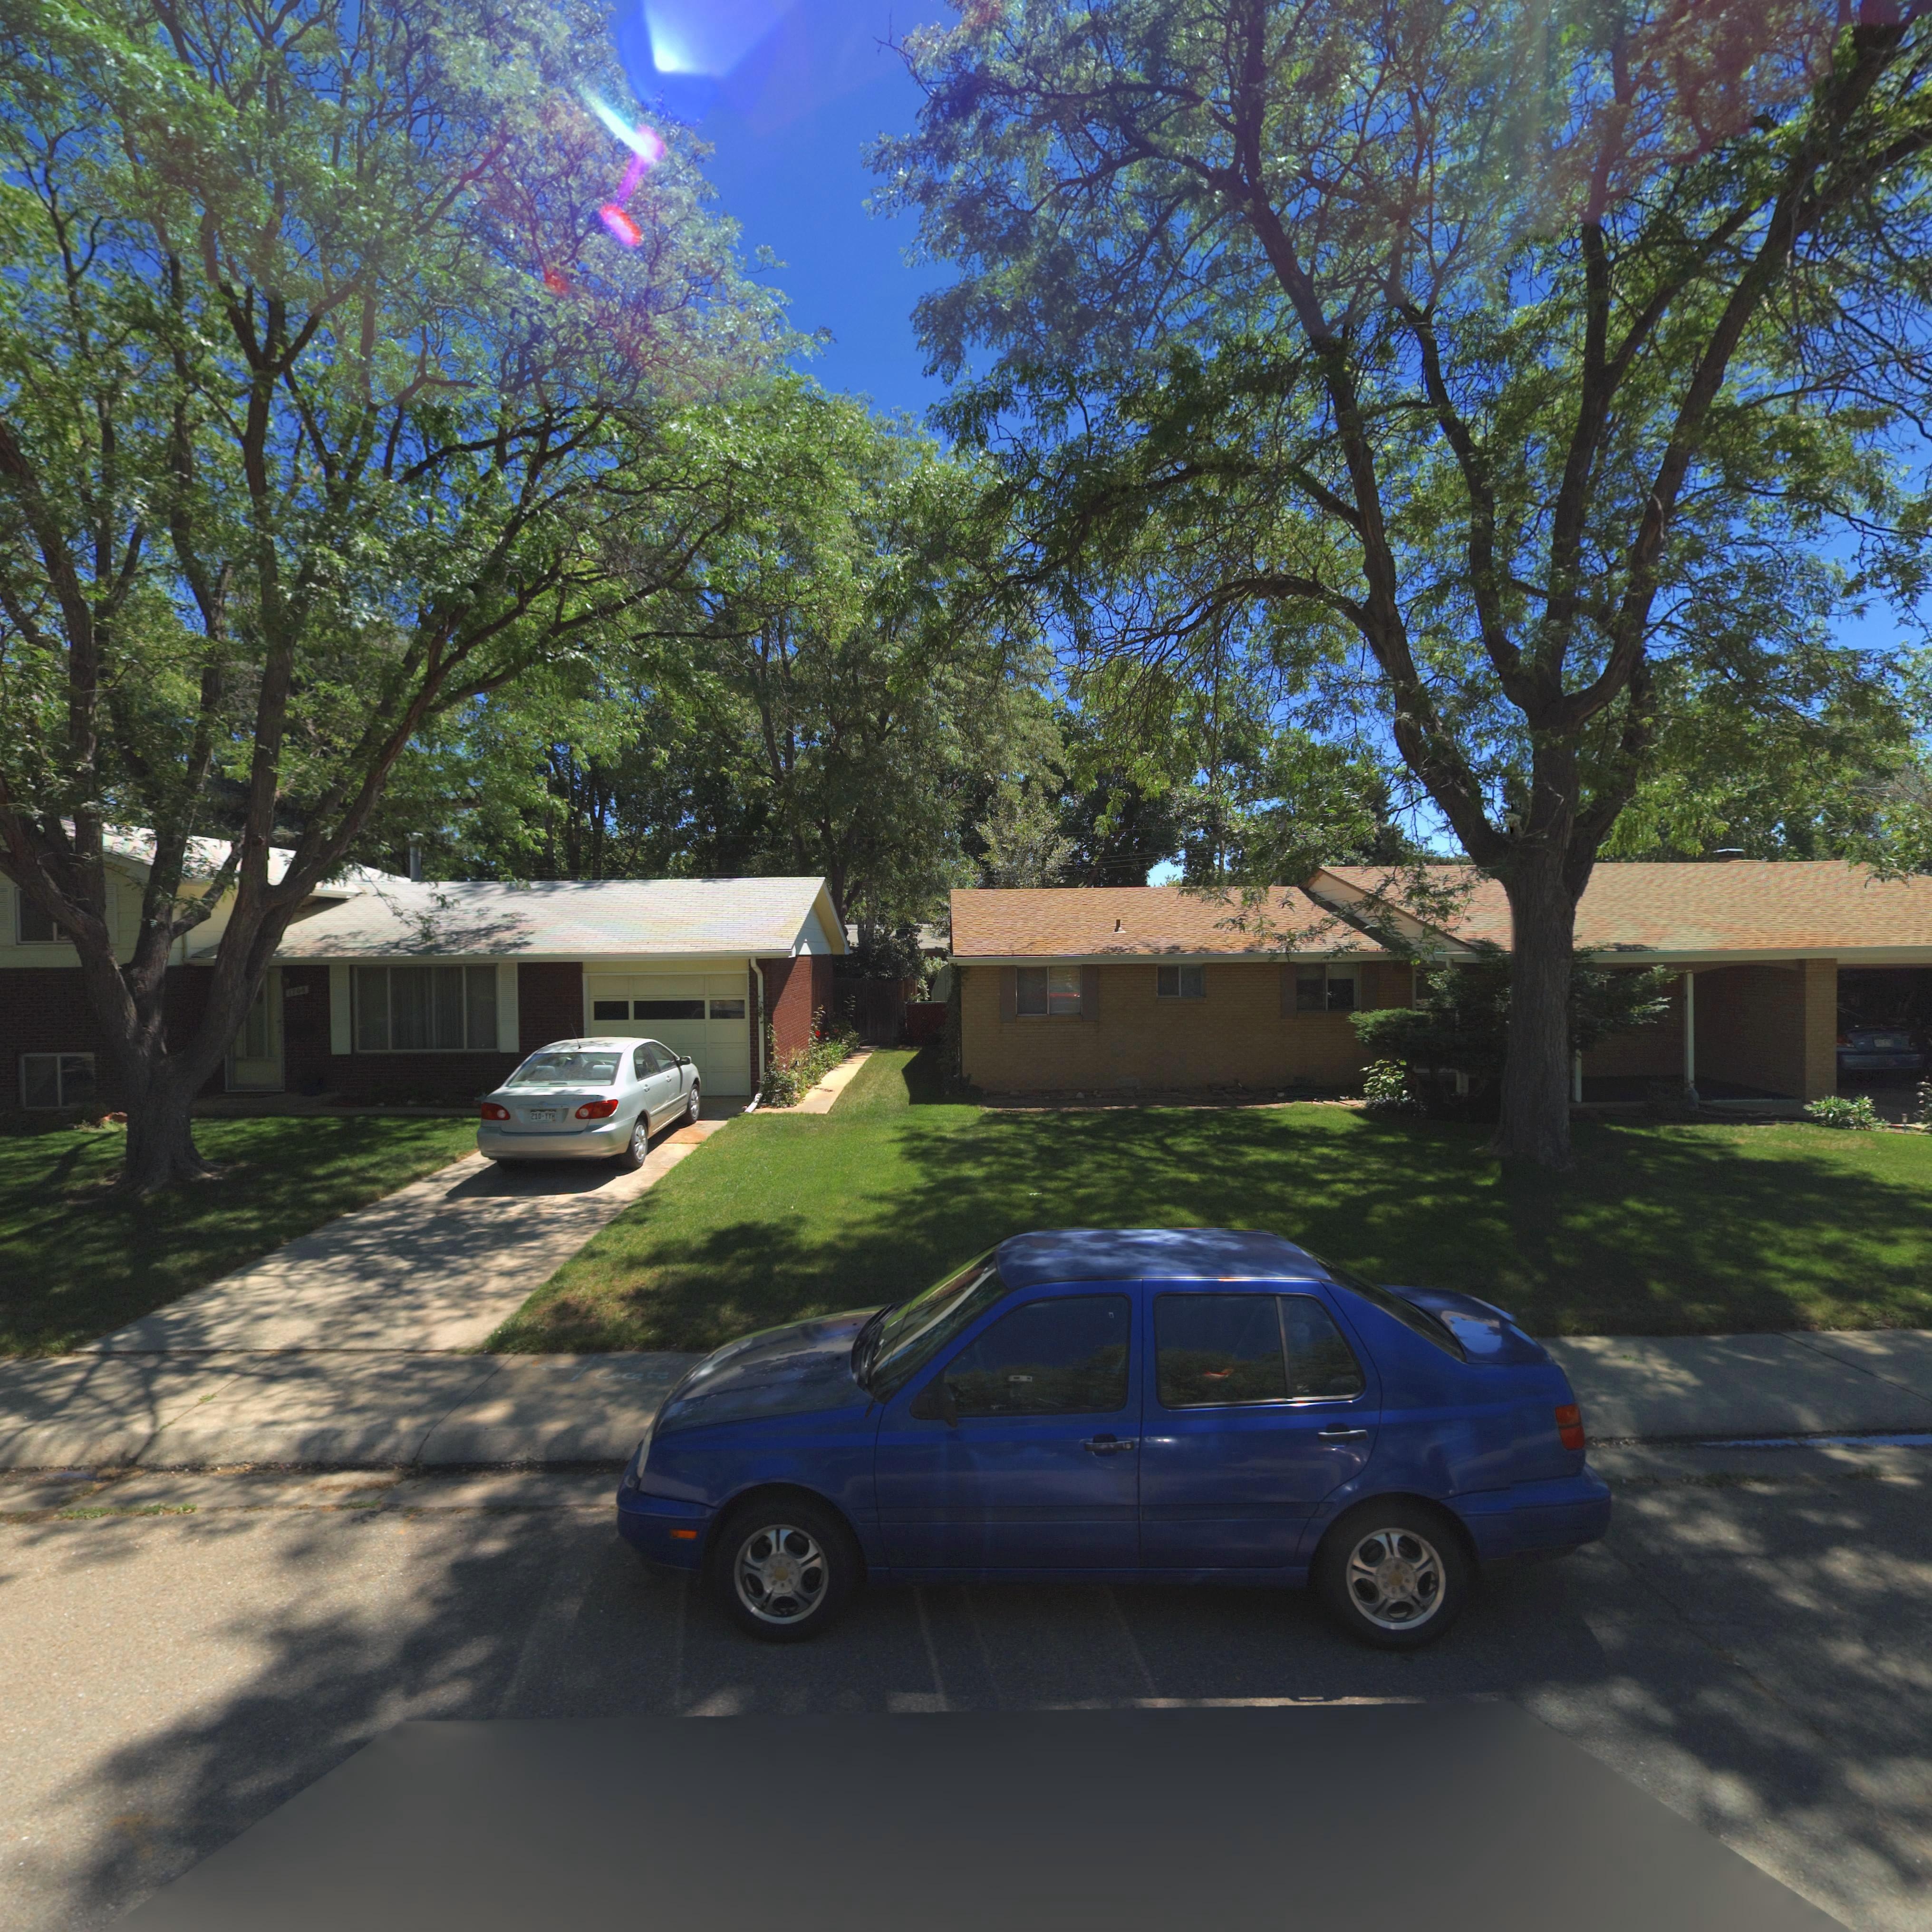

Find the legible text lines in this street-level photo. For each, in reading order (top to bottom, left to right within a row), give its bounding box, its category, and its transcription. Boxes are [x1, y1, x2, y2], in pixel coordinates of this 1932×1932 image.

[287, 986, 306, 996] StreetNumber: 170*